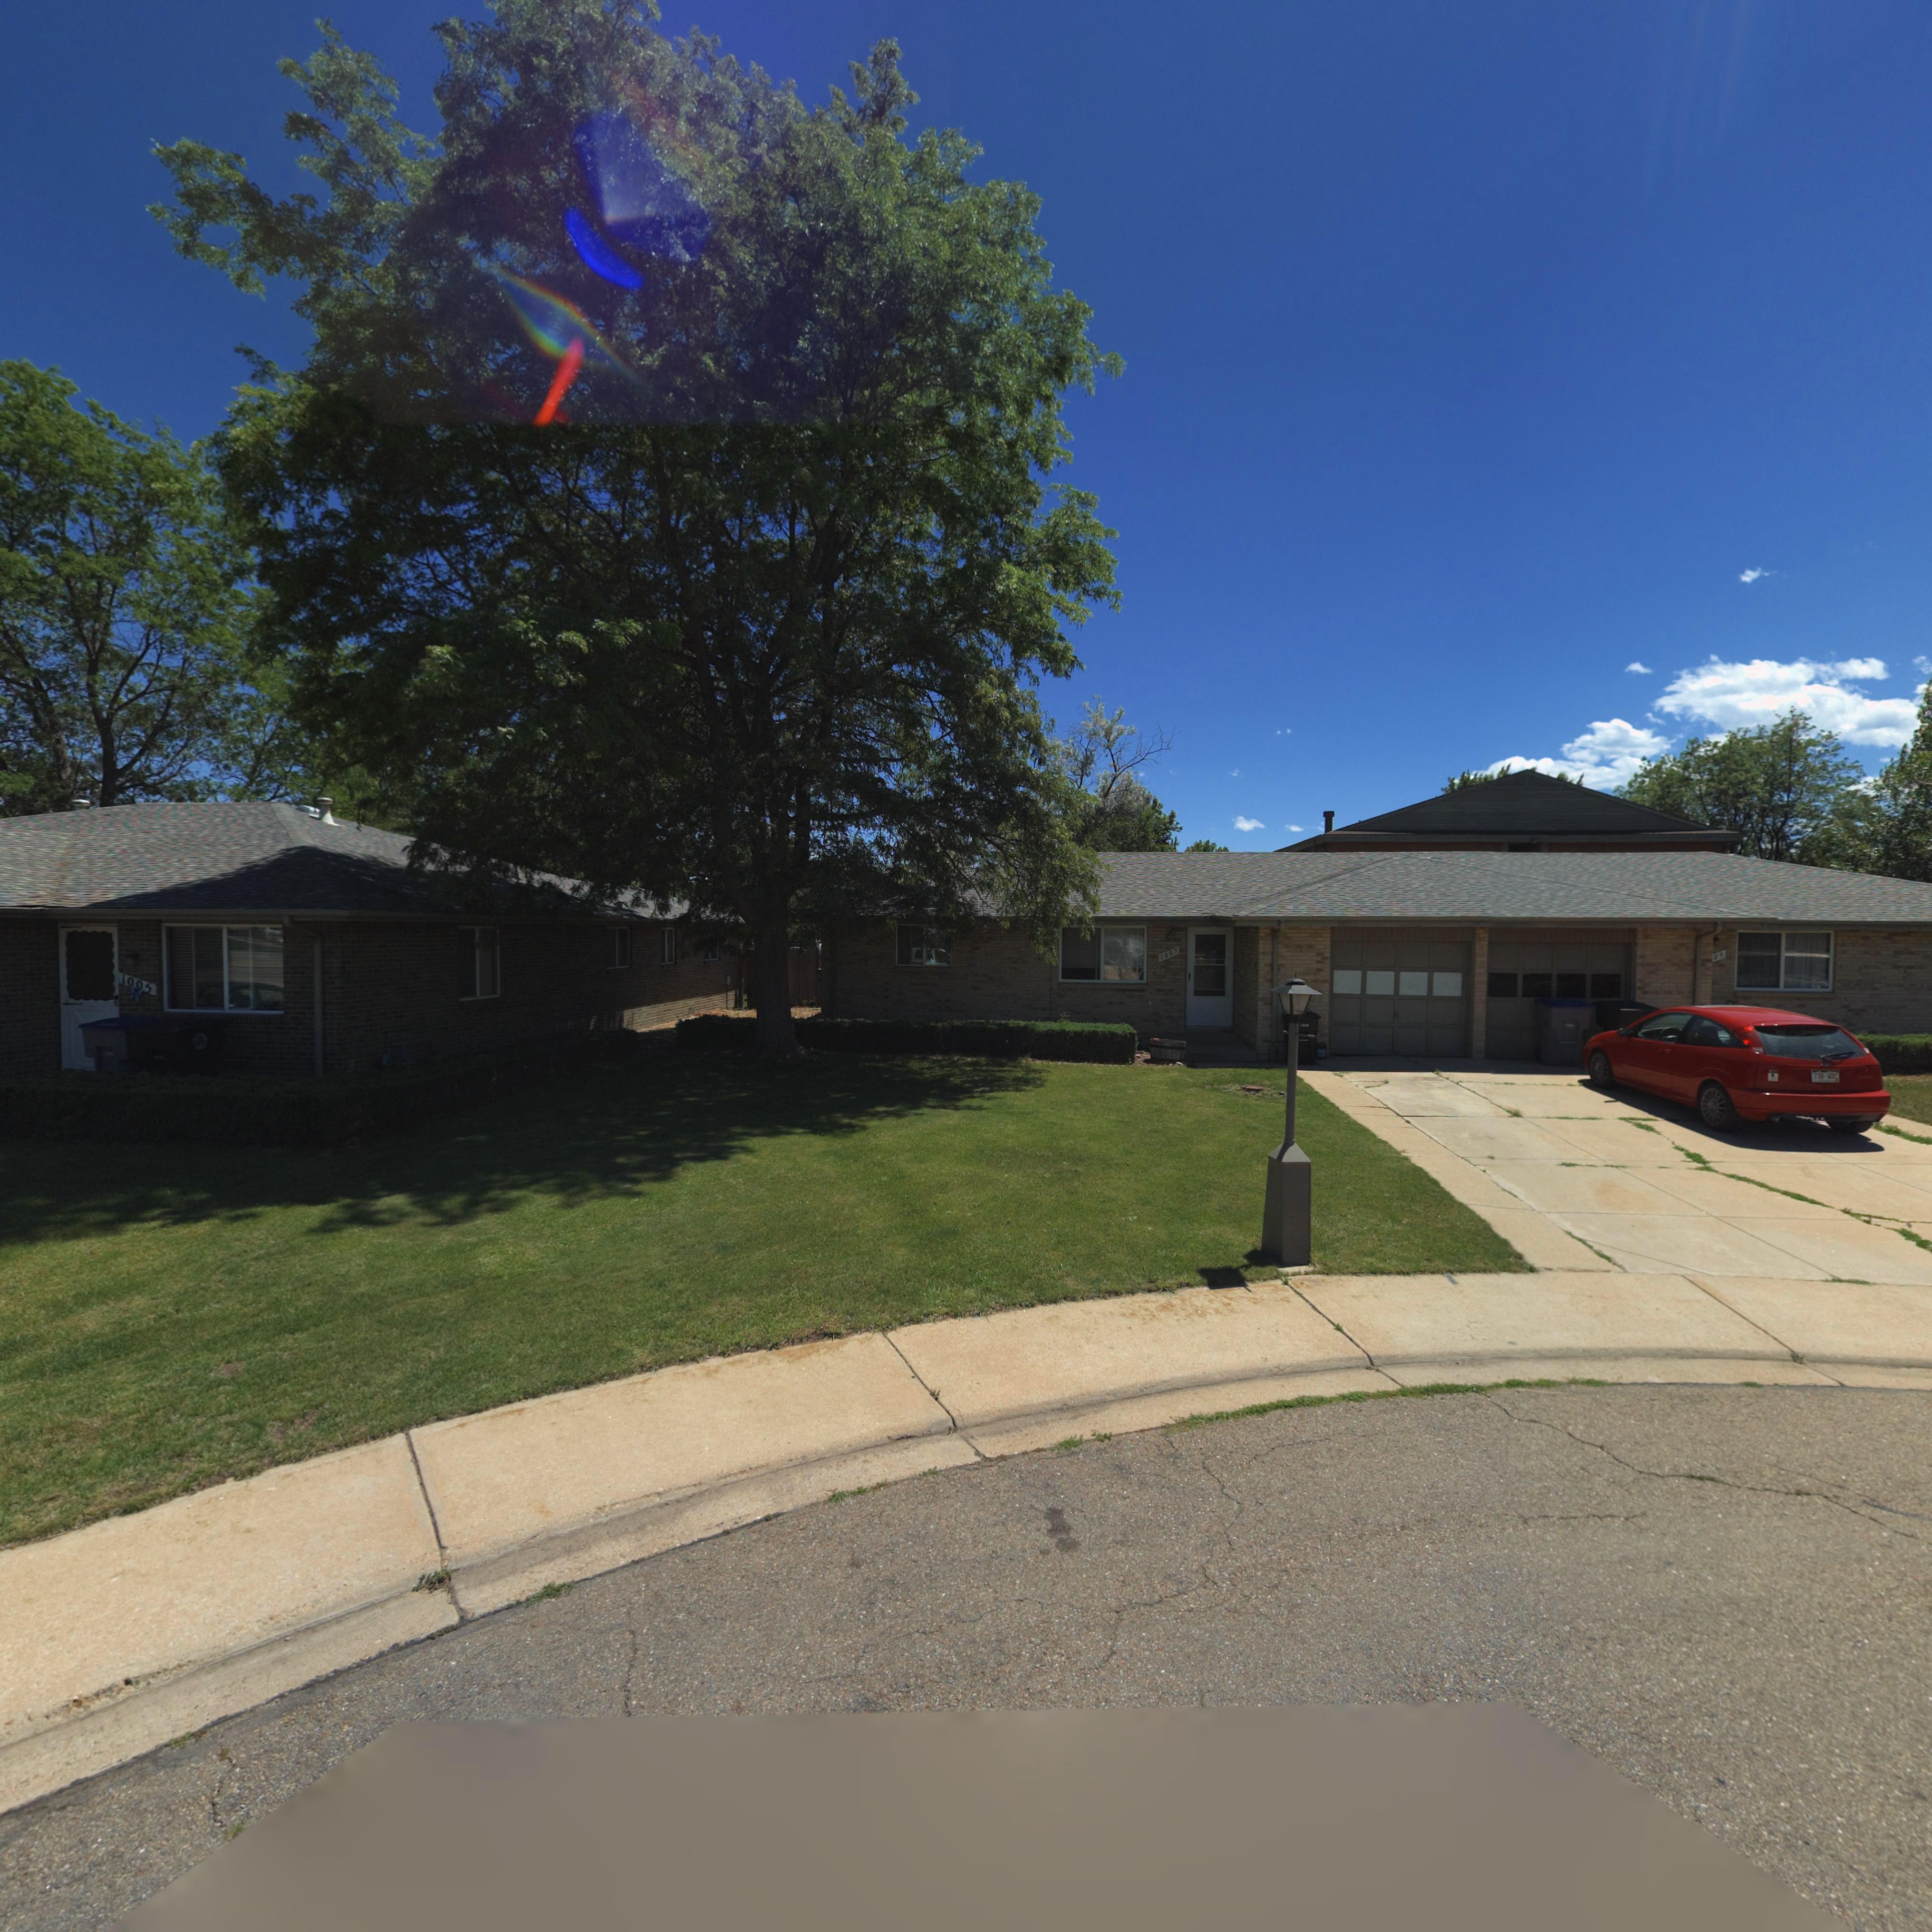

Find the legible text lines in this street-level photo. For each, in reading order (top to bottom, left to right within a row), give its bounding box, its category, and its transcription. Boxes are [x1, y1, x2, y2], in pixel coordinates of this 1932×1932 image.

[1160, 948, 1177, 960] StreetNumber: 1007
[1713, 951, 1724, 960] StreetNumber: 09
[121, 974, 152, 994] StreetNumber: 1005